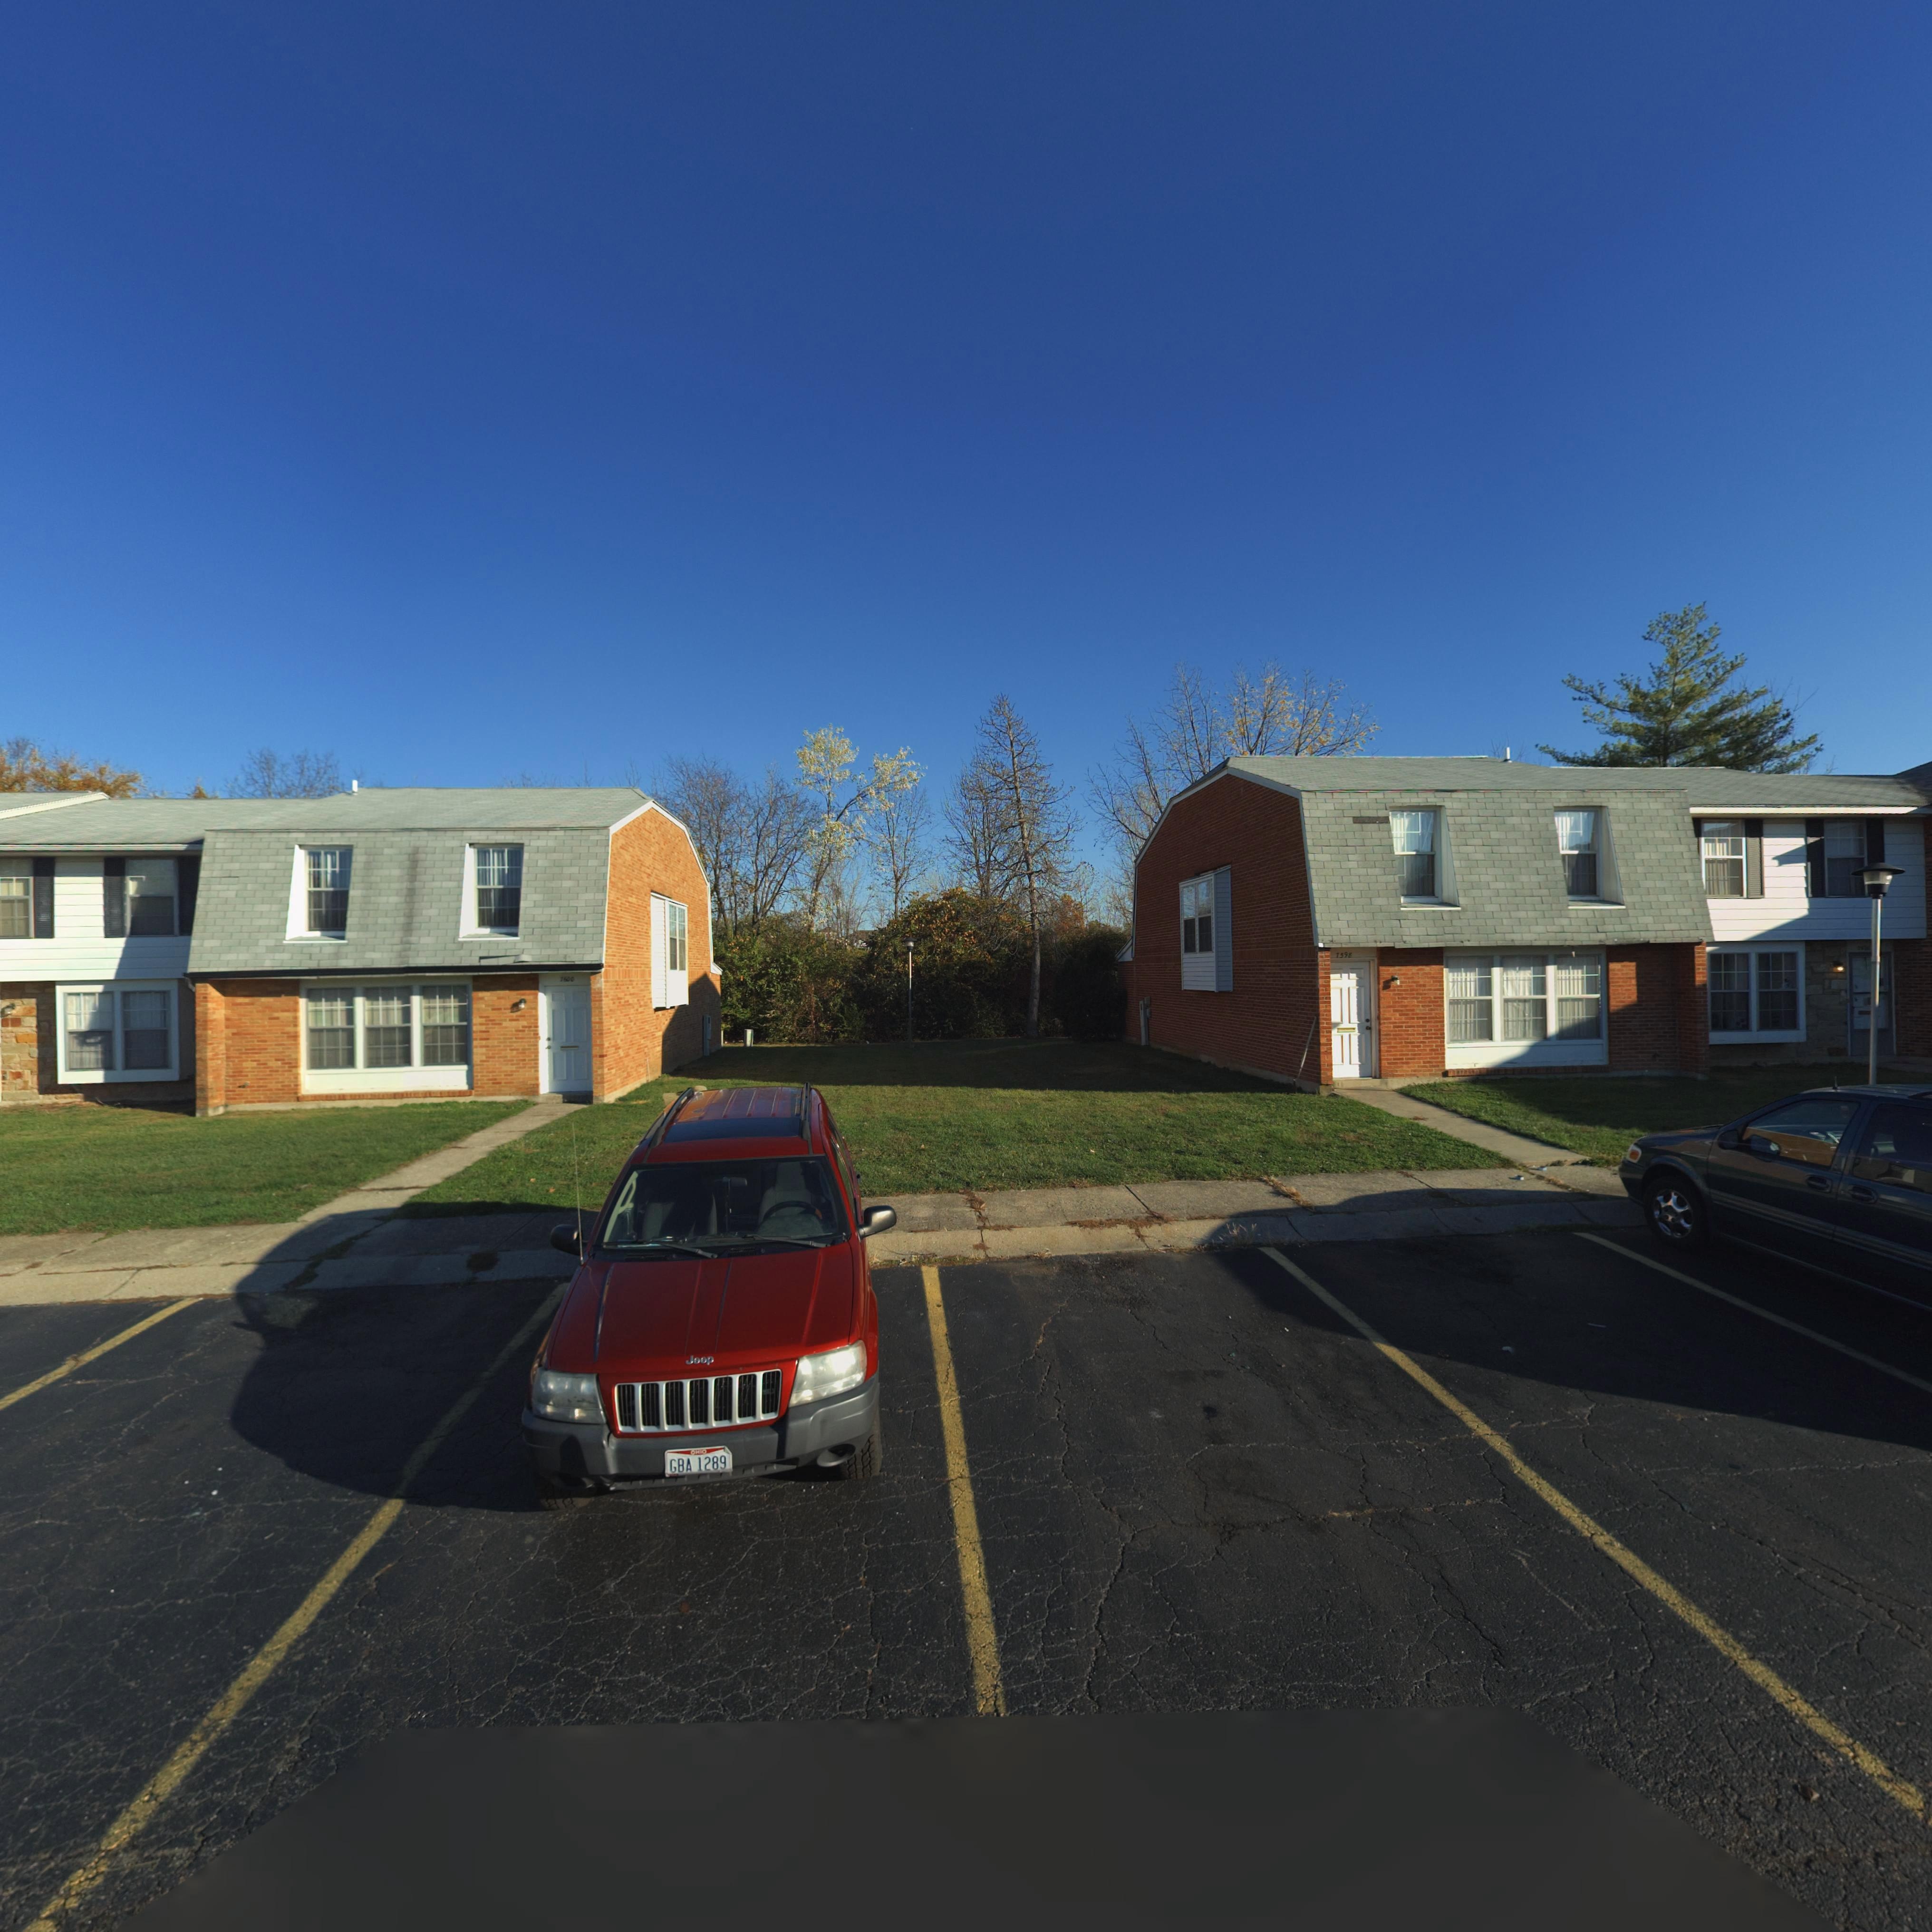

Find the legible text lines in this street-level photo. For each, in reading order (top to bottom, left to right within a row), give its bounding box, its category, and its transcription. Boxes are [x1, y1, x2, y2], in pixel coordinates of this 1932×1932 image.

[1334, 951, 1353, 959] StreetNumber: 759*
[558, 975, 576, 983] StreetNumber: 7600